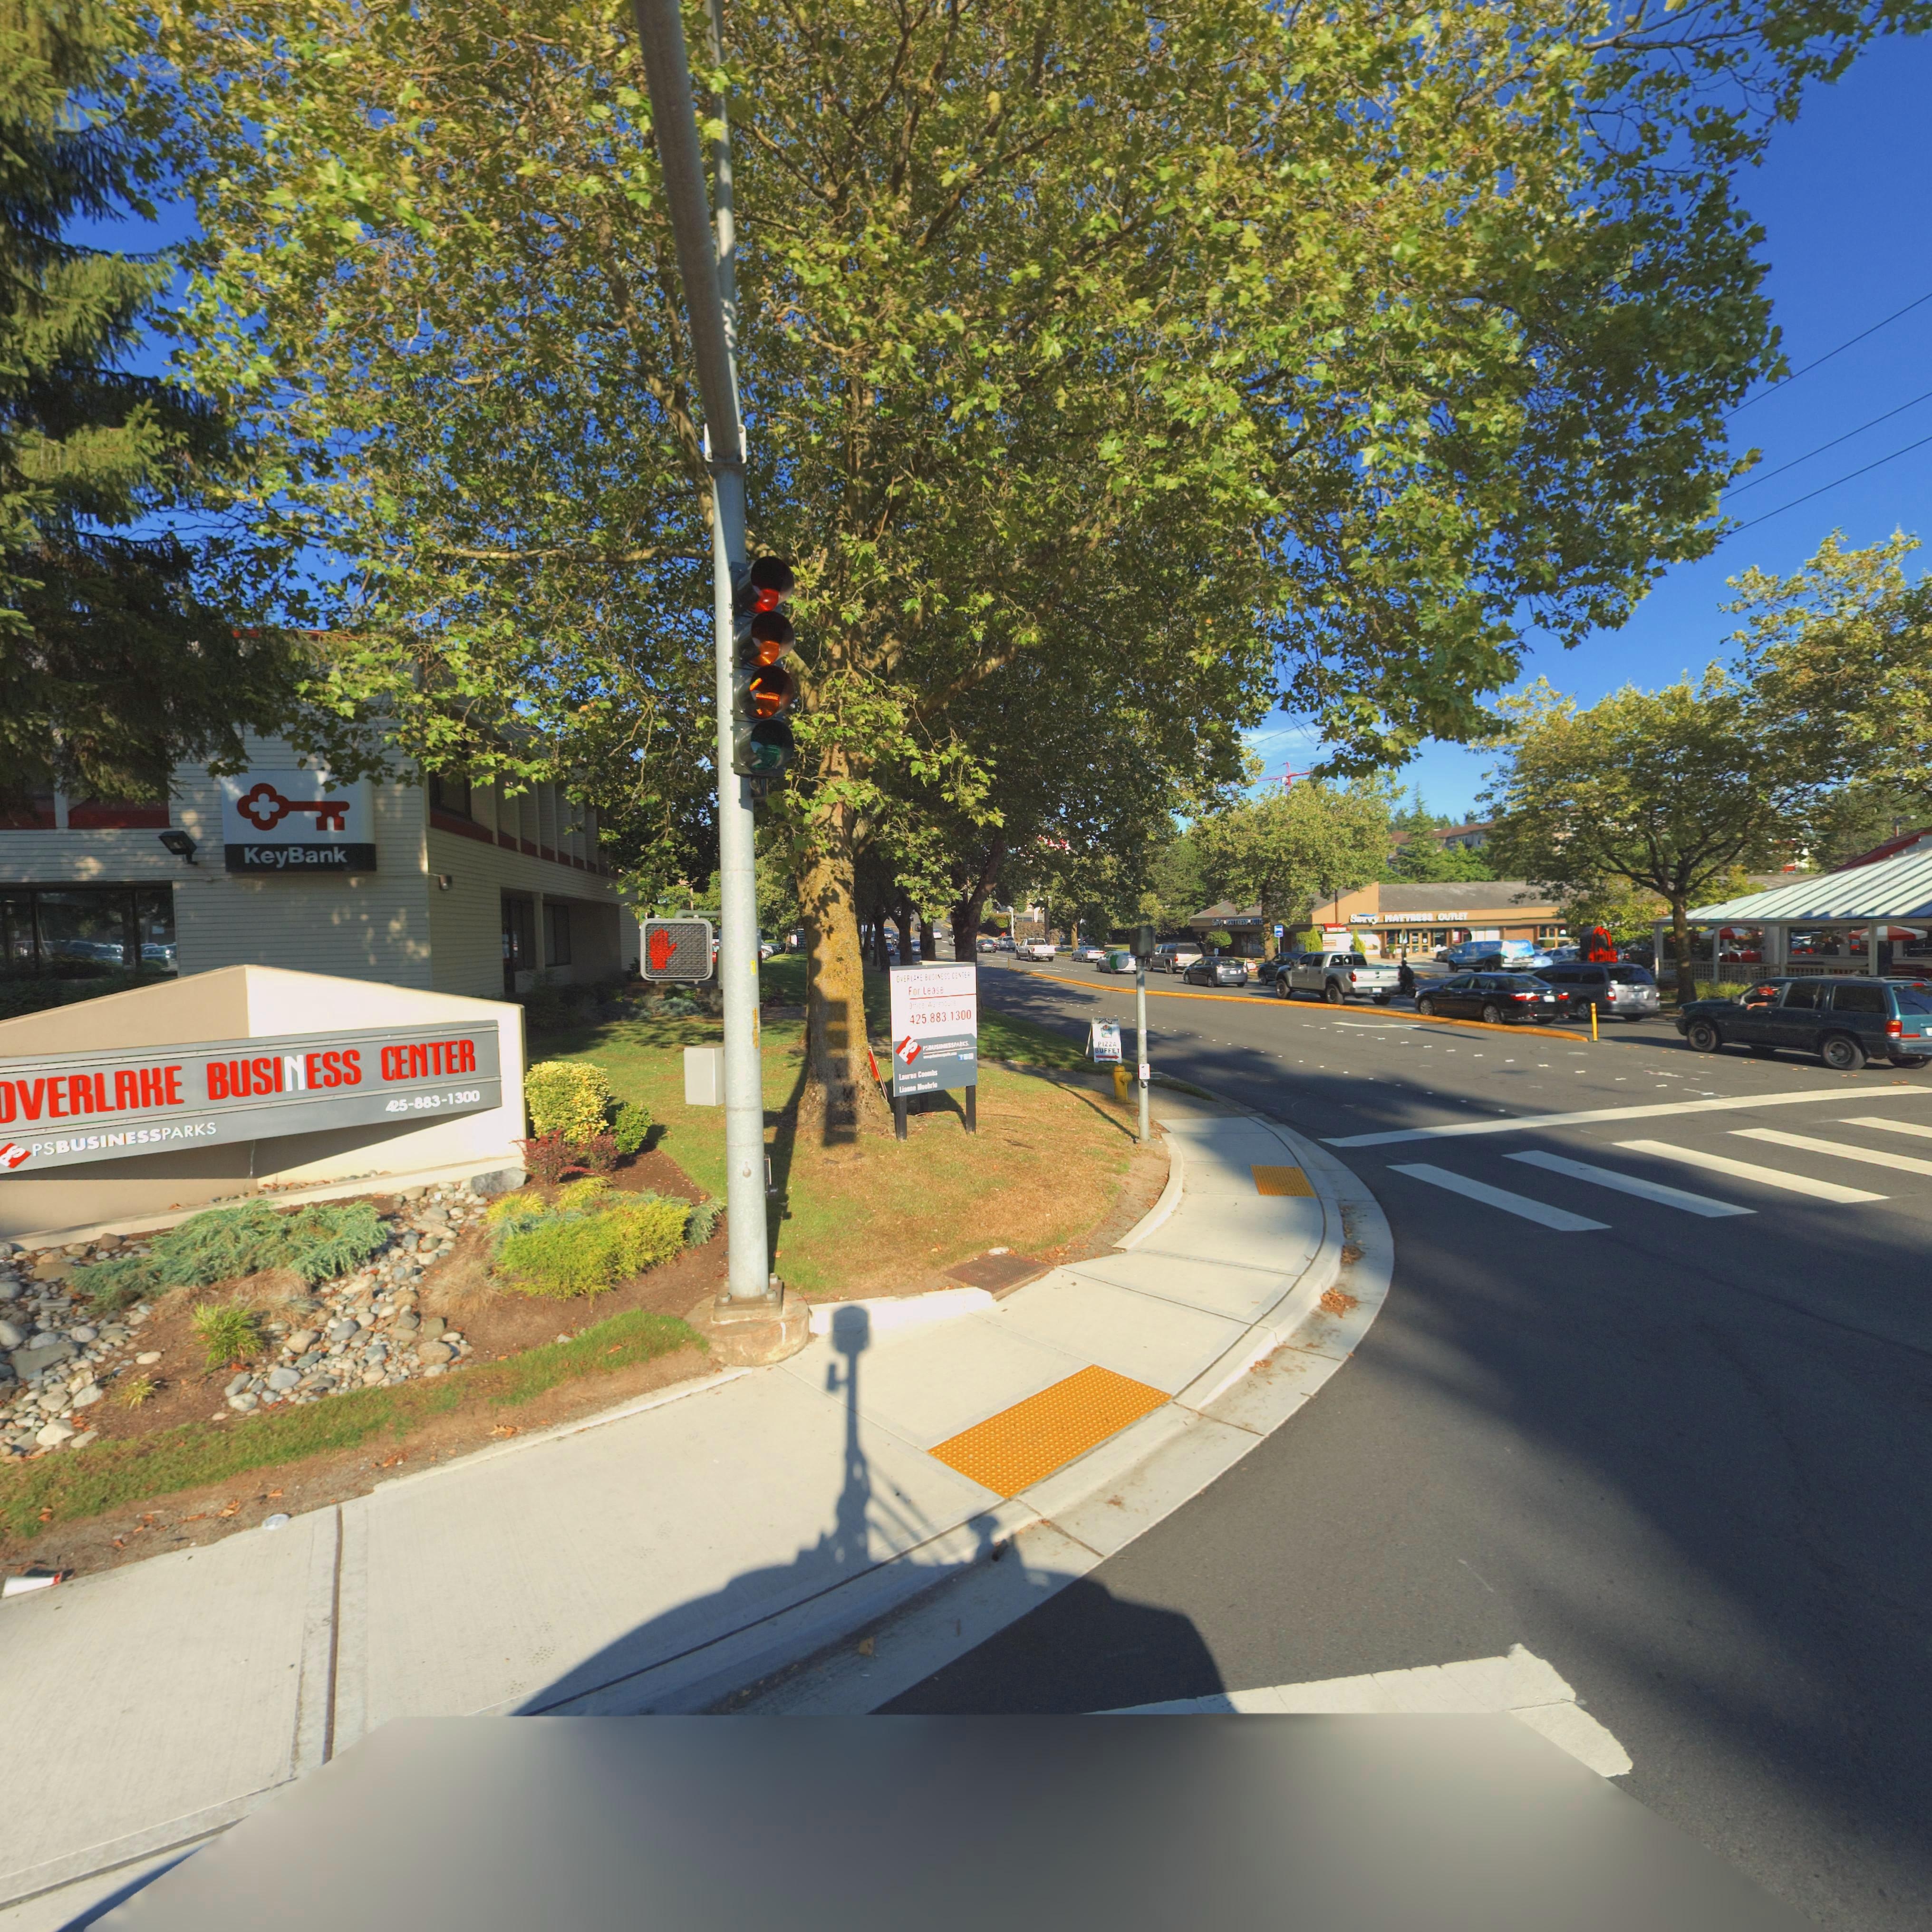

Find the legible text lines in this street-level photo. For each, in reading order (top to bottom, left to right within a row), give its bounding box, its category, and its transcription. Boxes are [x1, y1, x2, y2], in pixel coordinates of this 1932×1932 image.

[241, 843, 350, 873] BusinessName: KeyBank
[1345, 909, 1471, 927] BusinessName: Savvy MATTRESS OUTLET